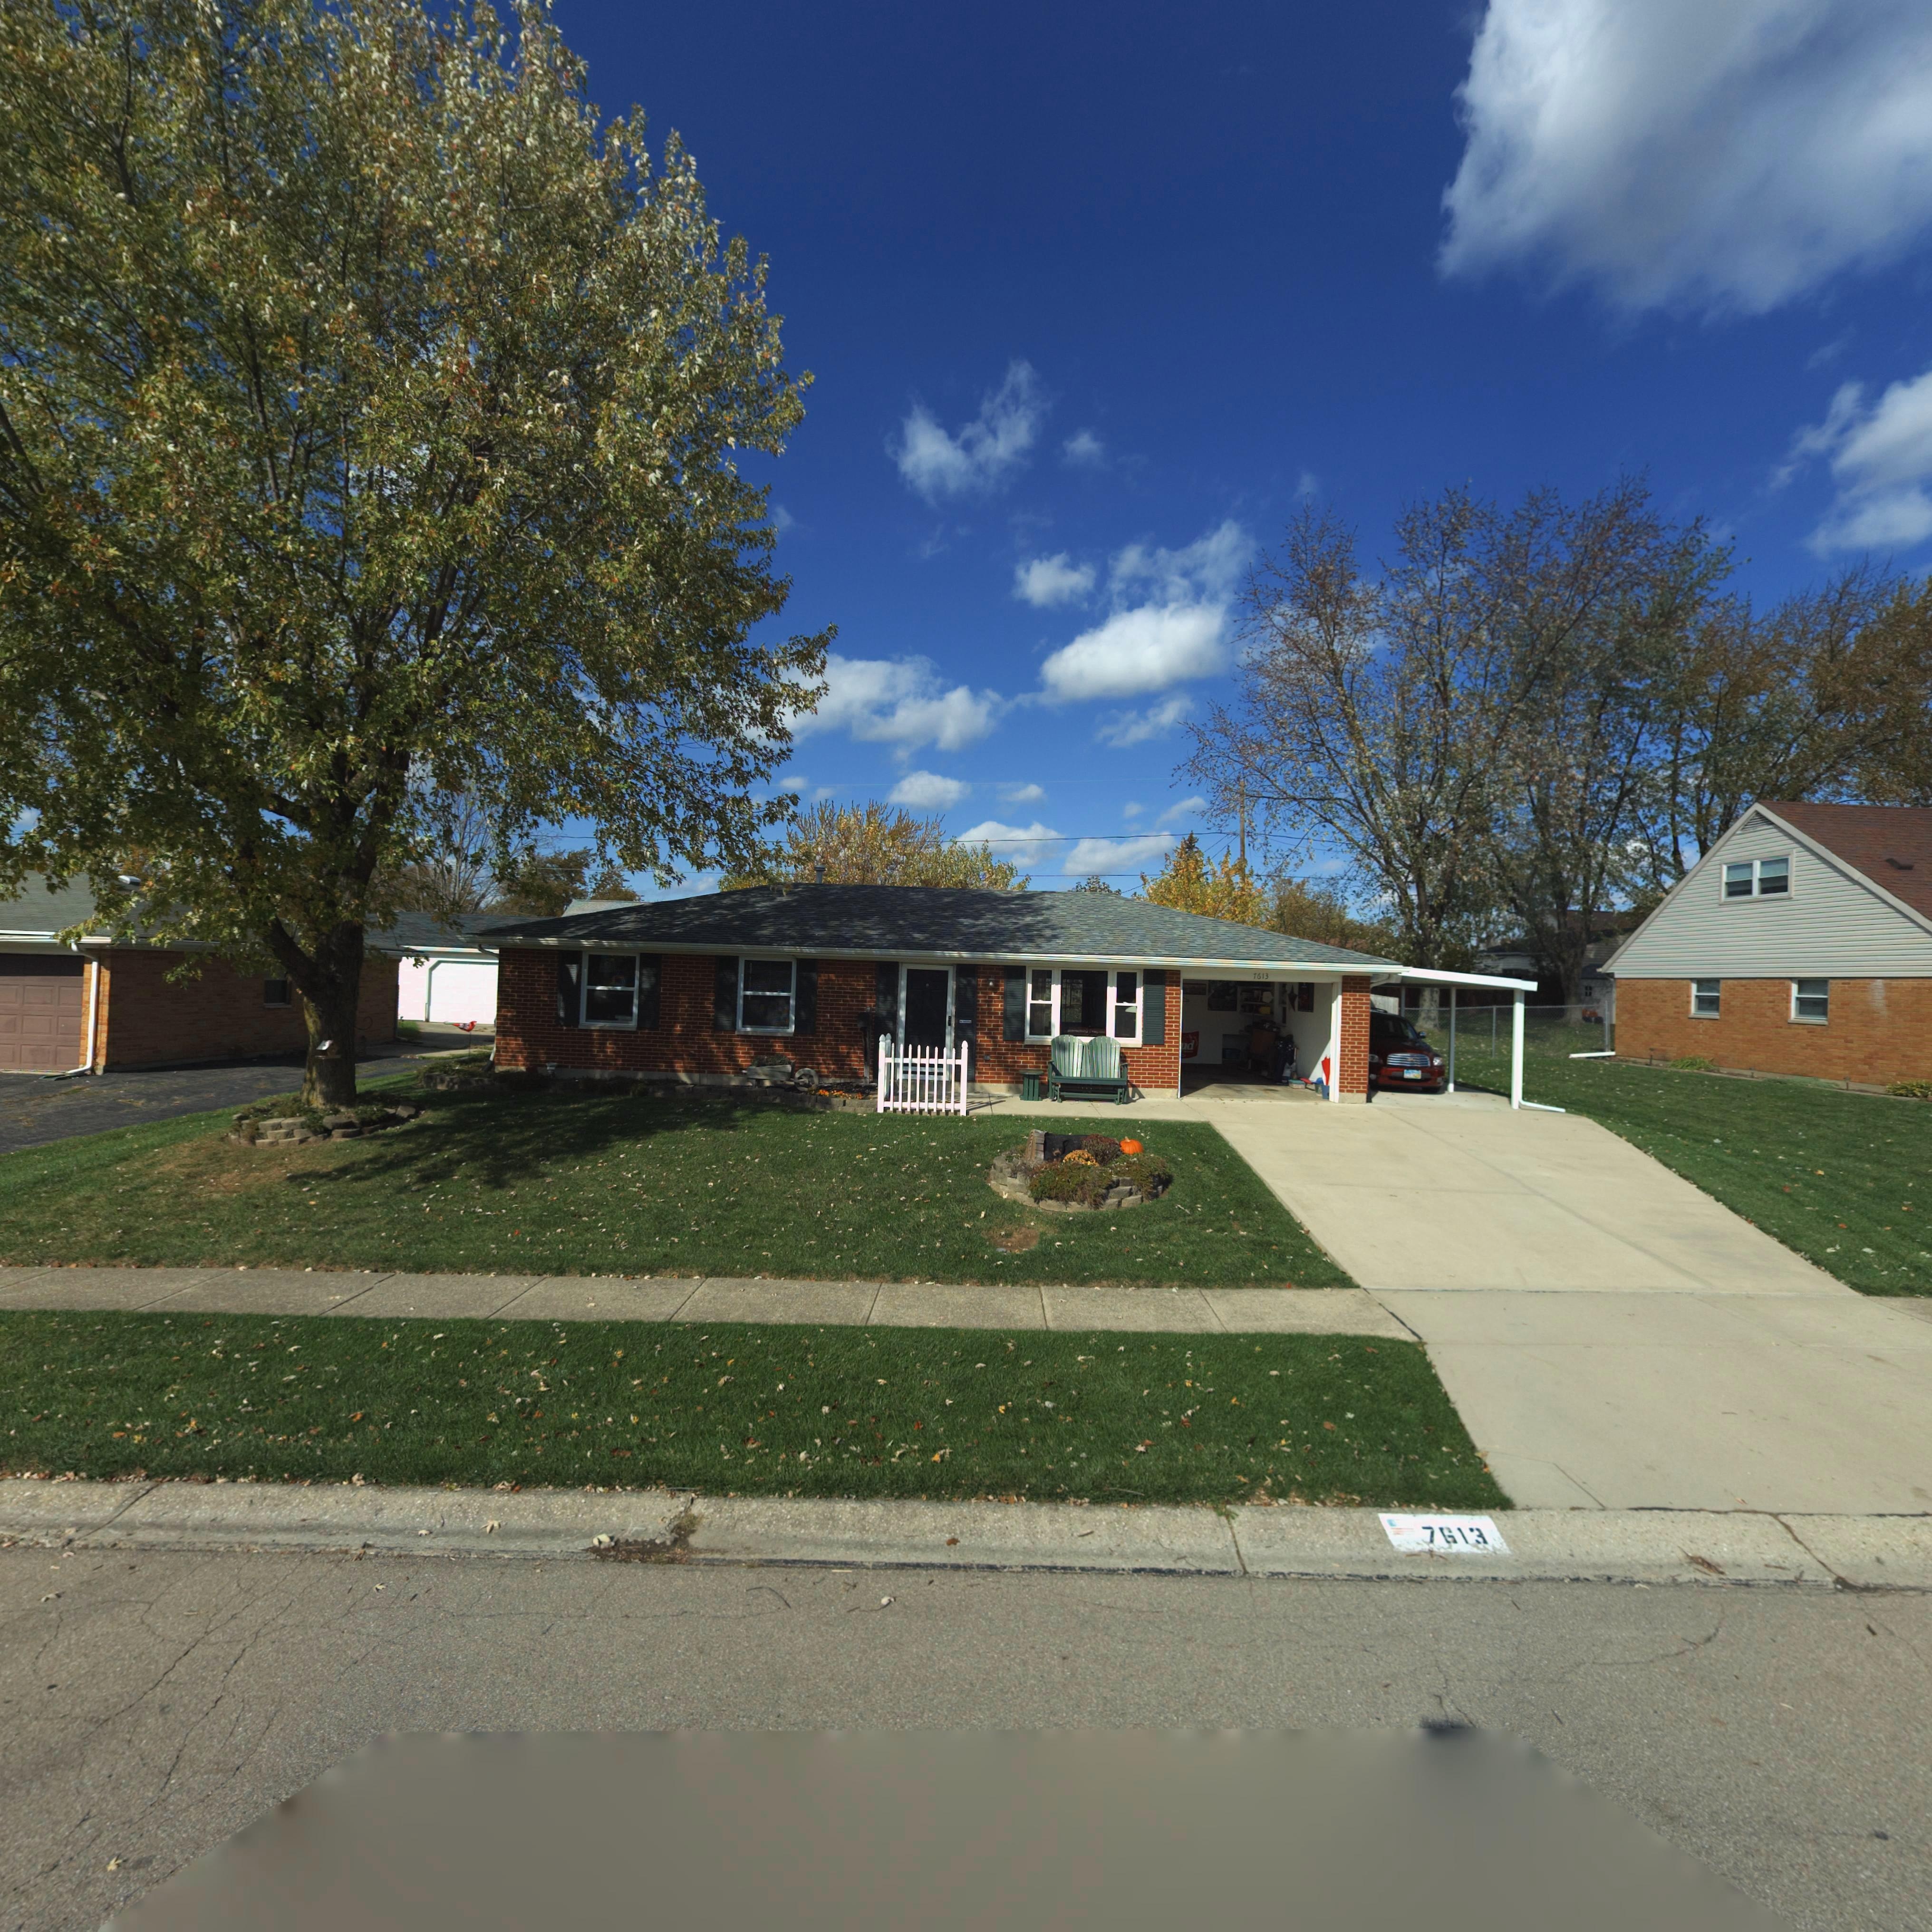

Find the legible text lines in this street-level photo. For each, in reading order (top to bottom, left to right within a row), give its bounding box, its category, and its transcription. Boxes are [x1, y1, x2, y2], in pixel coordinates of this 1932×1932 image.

[1252, 972, 1270, 980] StreetNumber: 7613
[1420, 1525, 1490, 1545] StreetNumber: 7613